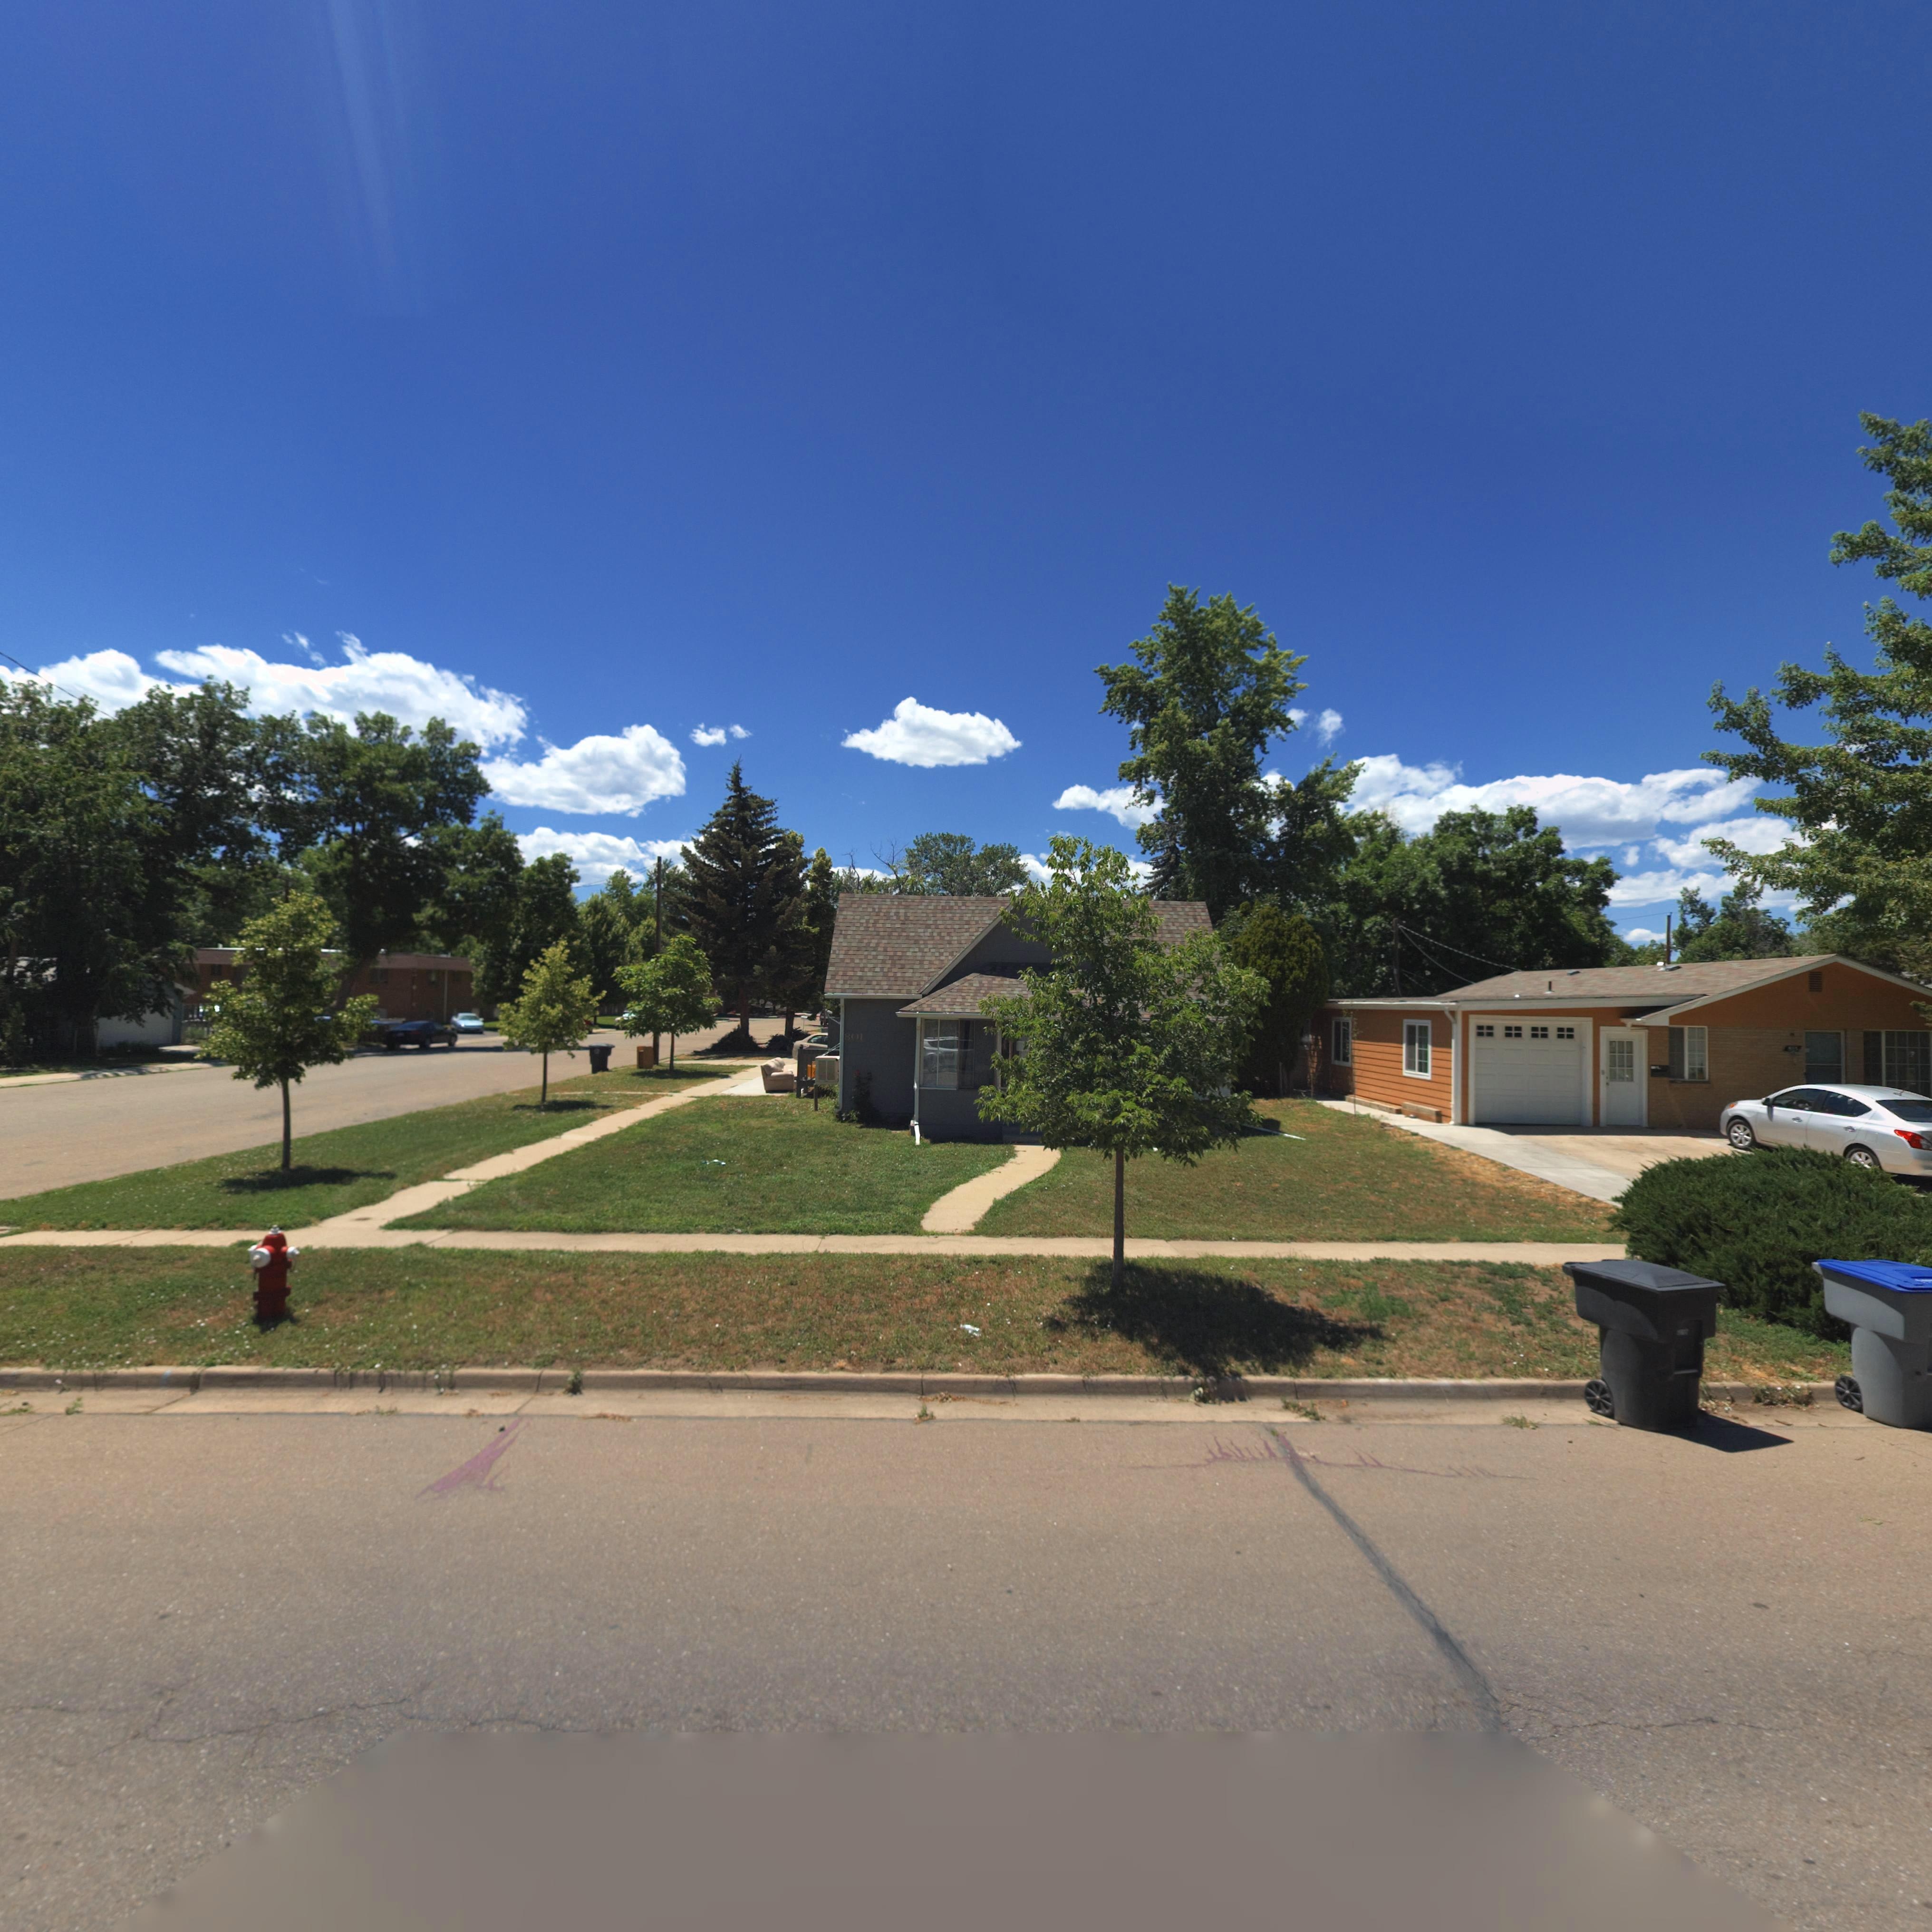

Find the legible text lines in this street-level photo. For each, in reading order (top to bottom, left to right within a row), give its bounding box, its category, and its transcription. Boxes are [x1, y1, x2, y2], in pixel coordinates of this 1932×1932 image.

[844, 1032, 862, 1041] StreetNumber: 801
[1787, 1046, 1797, 1051] StreetNumber: 80*